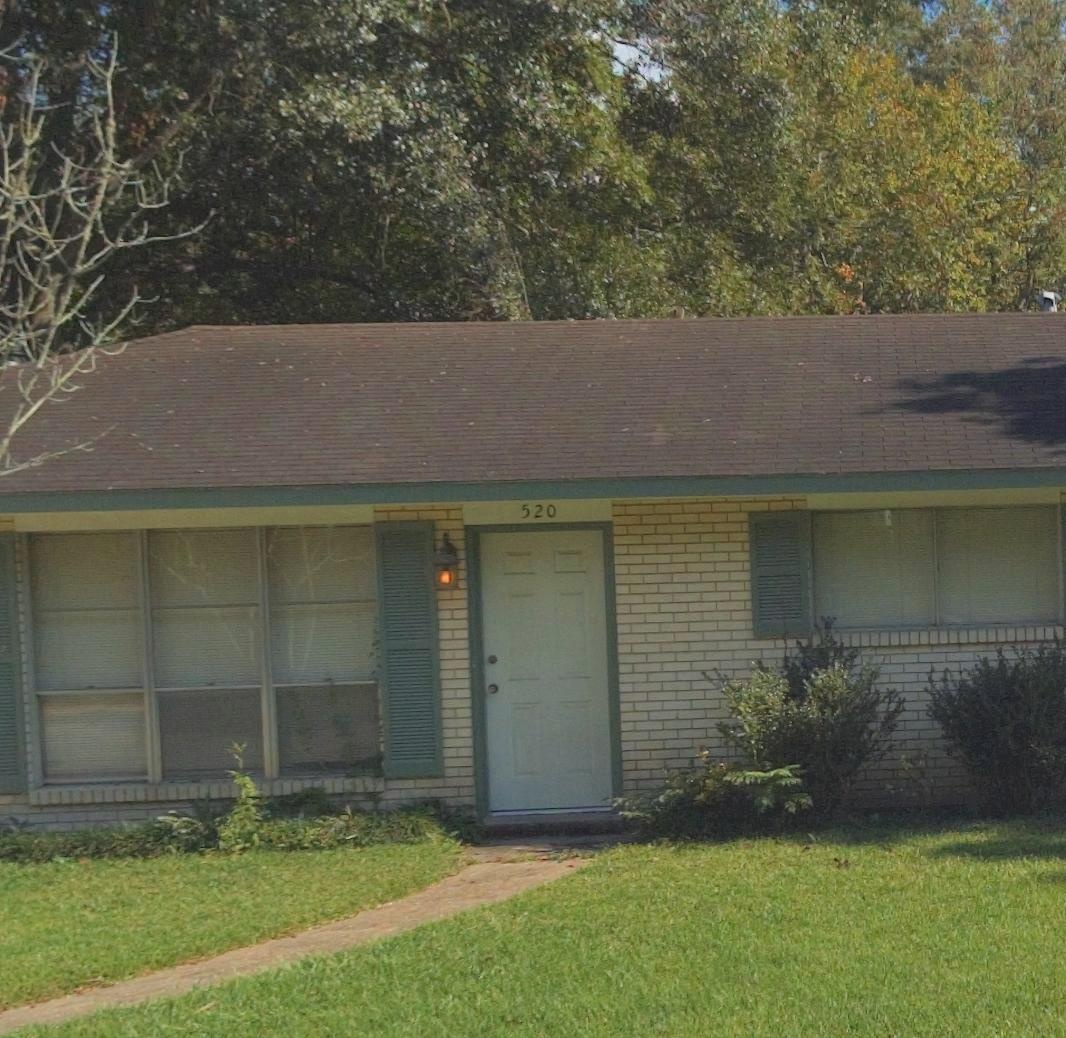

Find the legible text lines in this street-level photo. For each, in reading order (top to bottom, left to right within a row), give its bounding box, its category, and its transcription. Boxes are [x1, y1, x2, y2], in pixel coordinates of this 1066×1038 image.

[521, 503, 557, 519] StreetNumber: 520